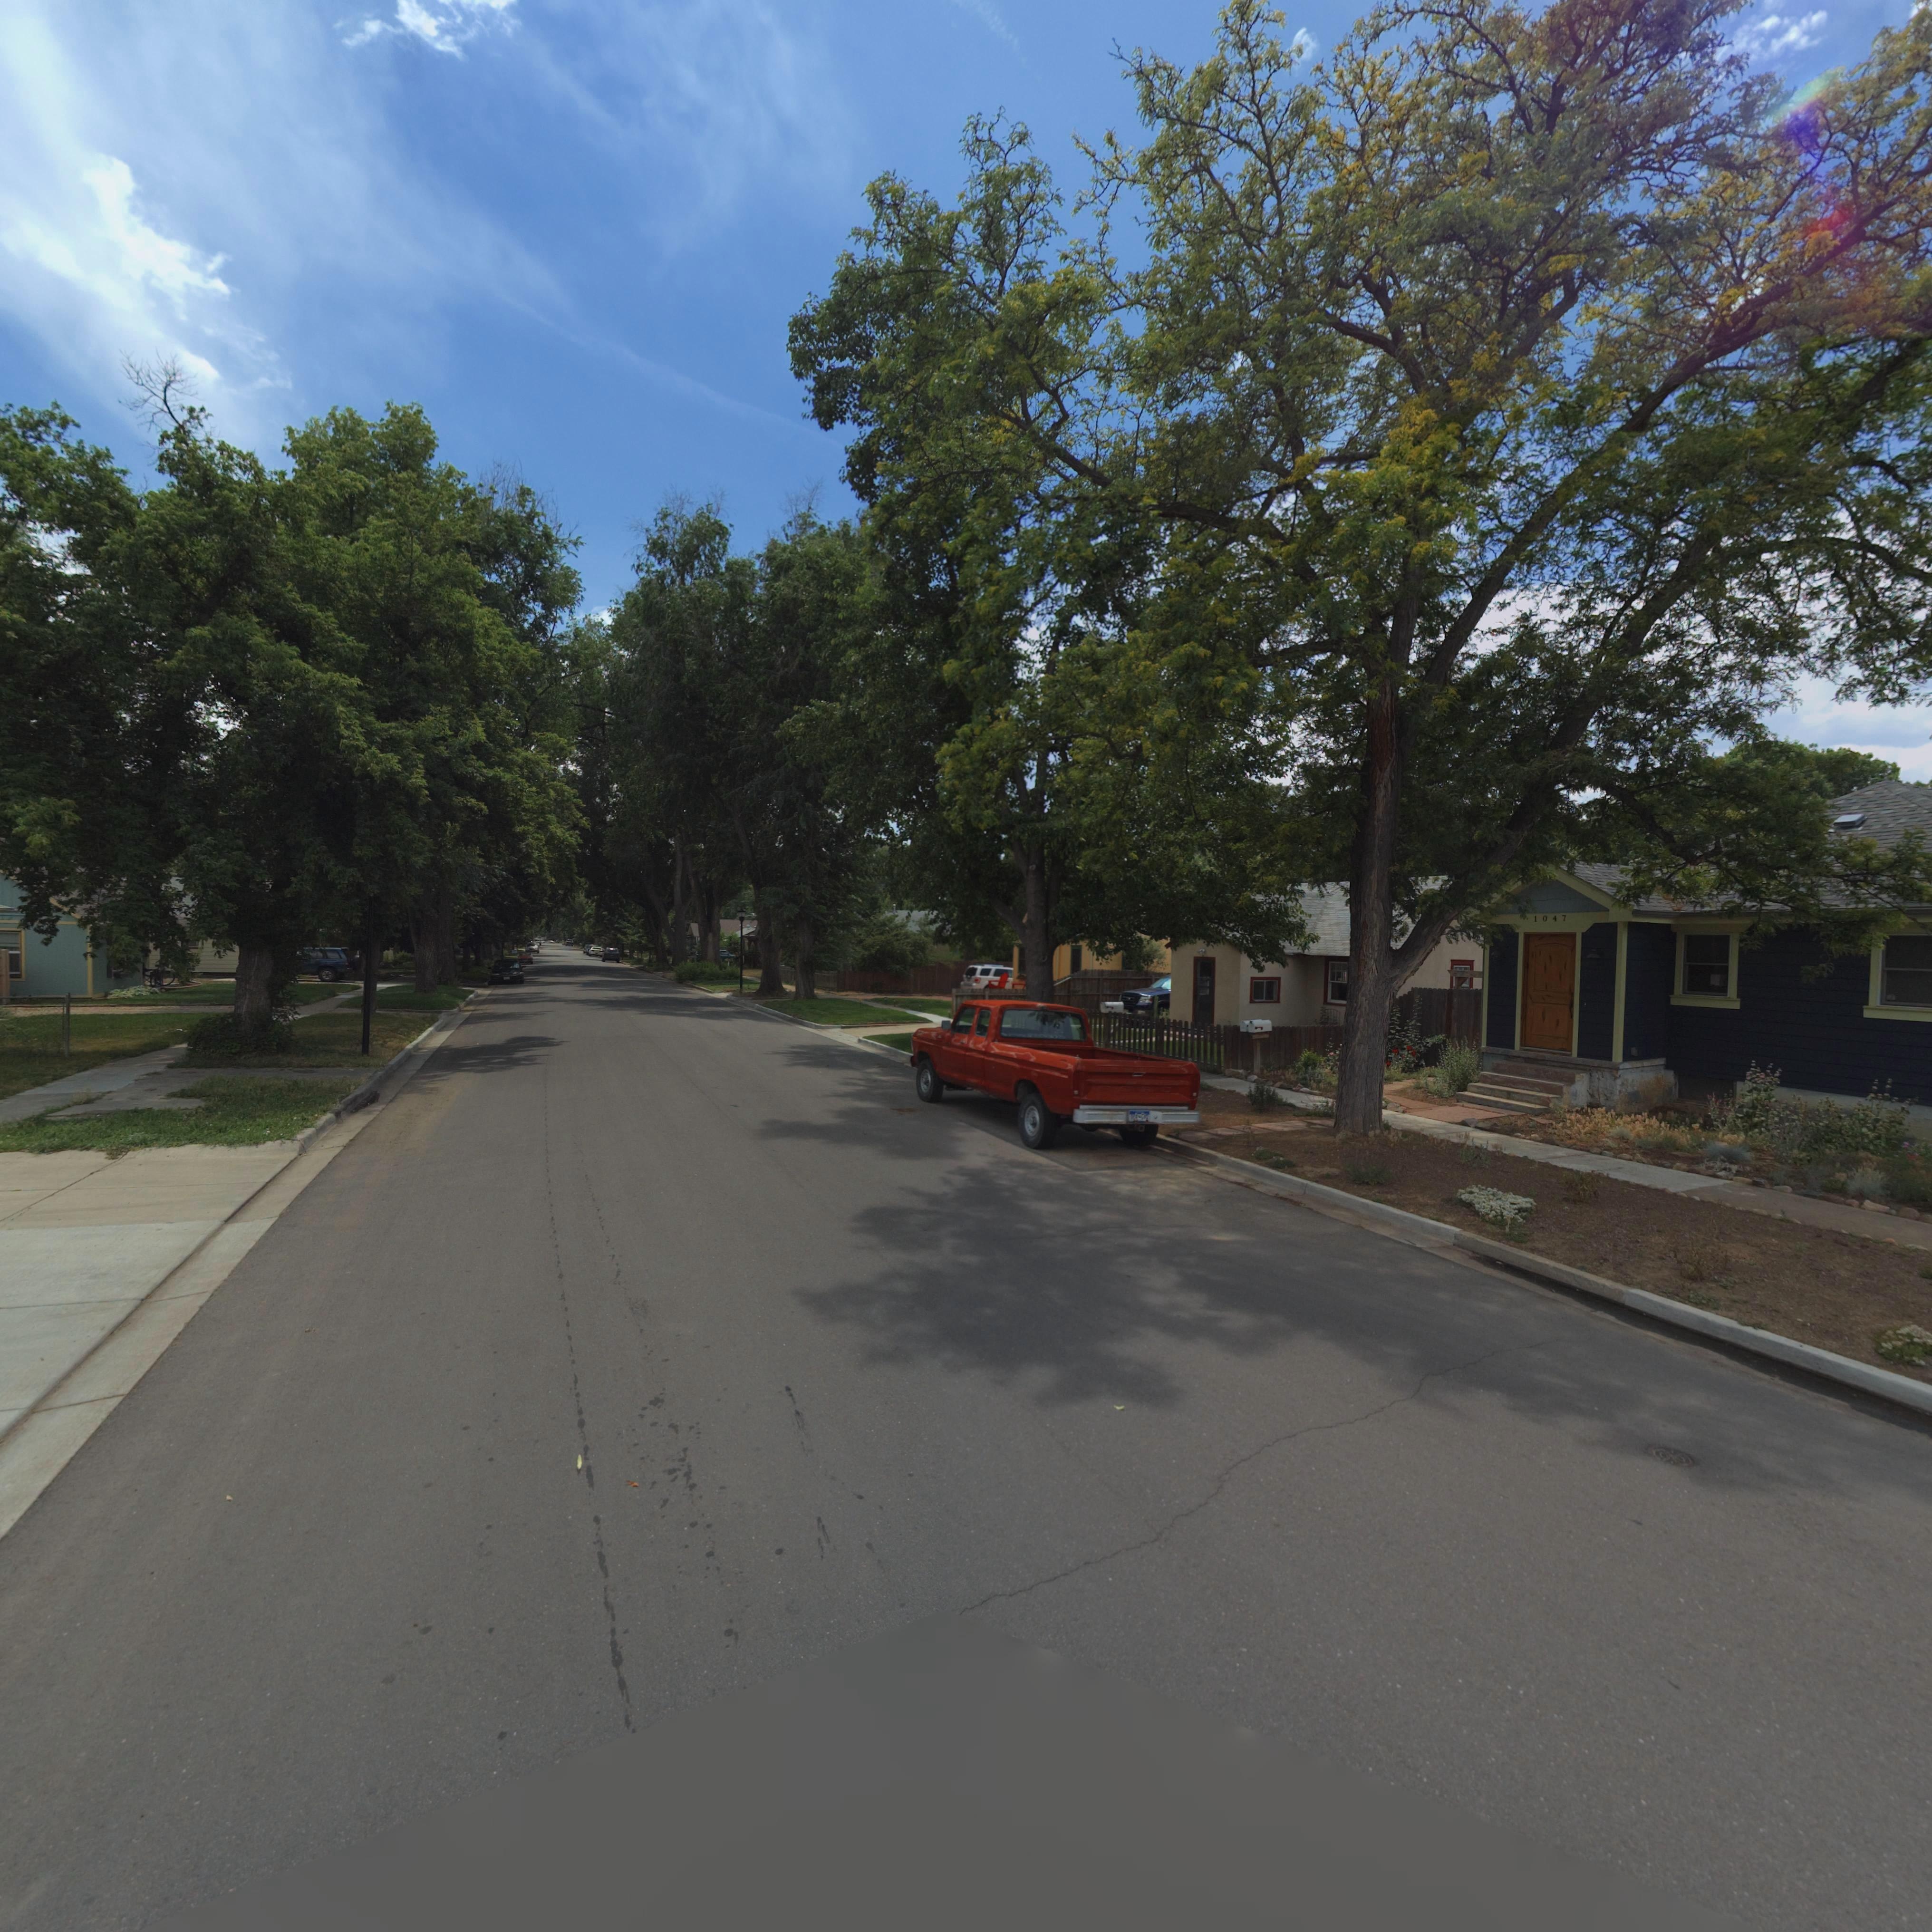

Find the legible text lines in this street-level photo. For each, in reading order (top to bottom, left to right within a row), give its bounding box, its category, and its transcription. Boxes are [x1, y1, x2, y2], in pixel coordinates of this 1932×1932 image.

[1534, 915, 1567, 922] StreetNumber: 1047